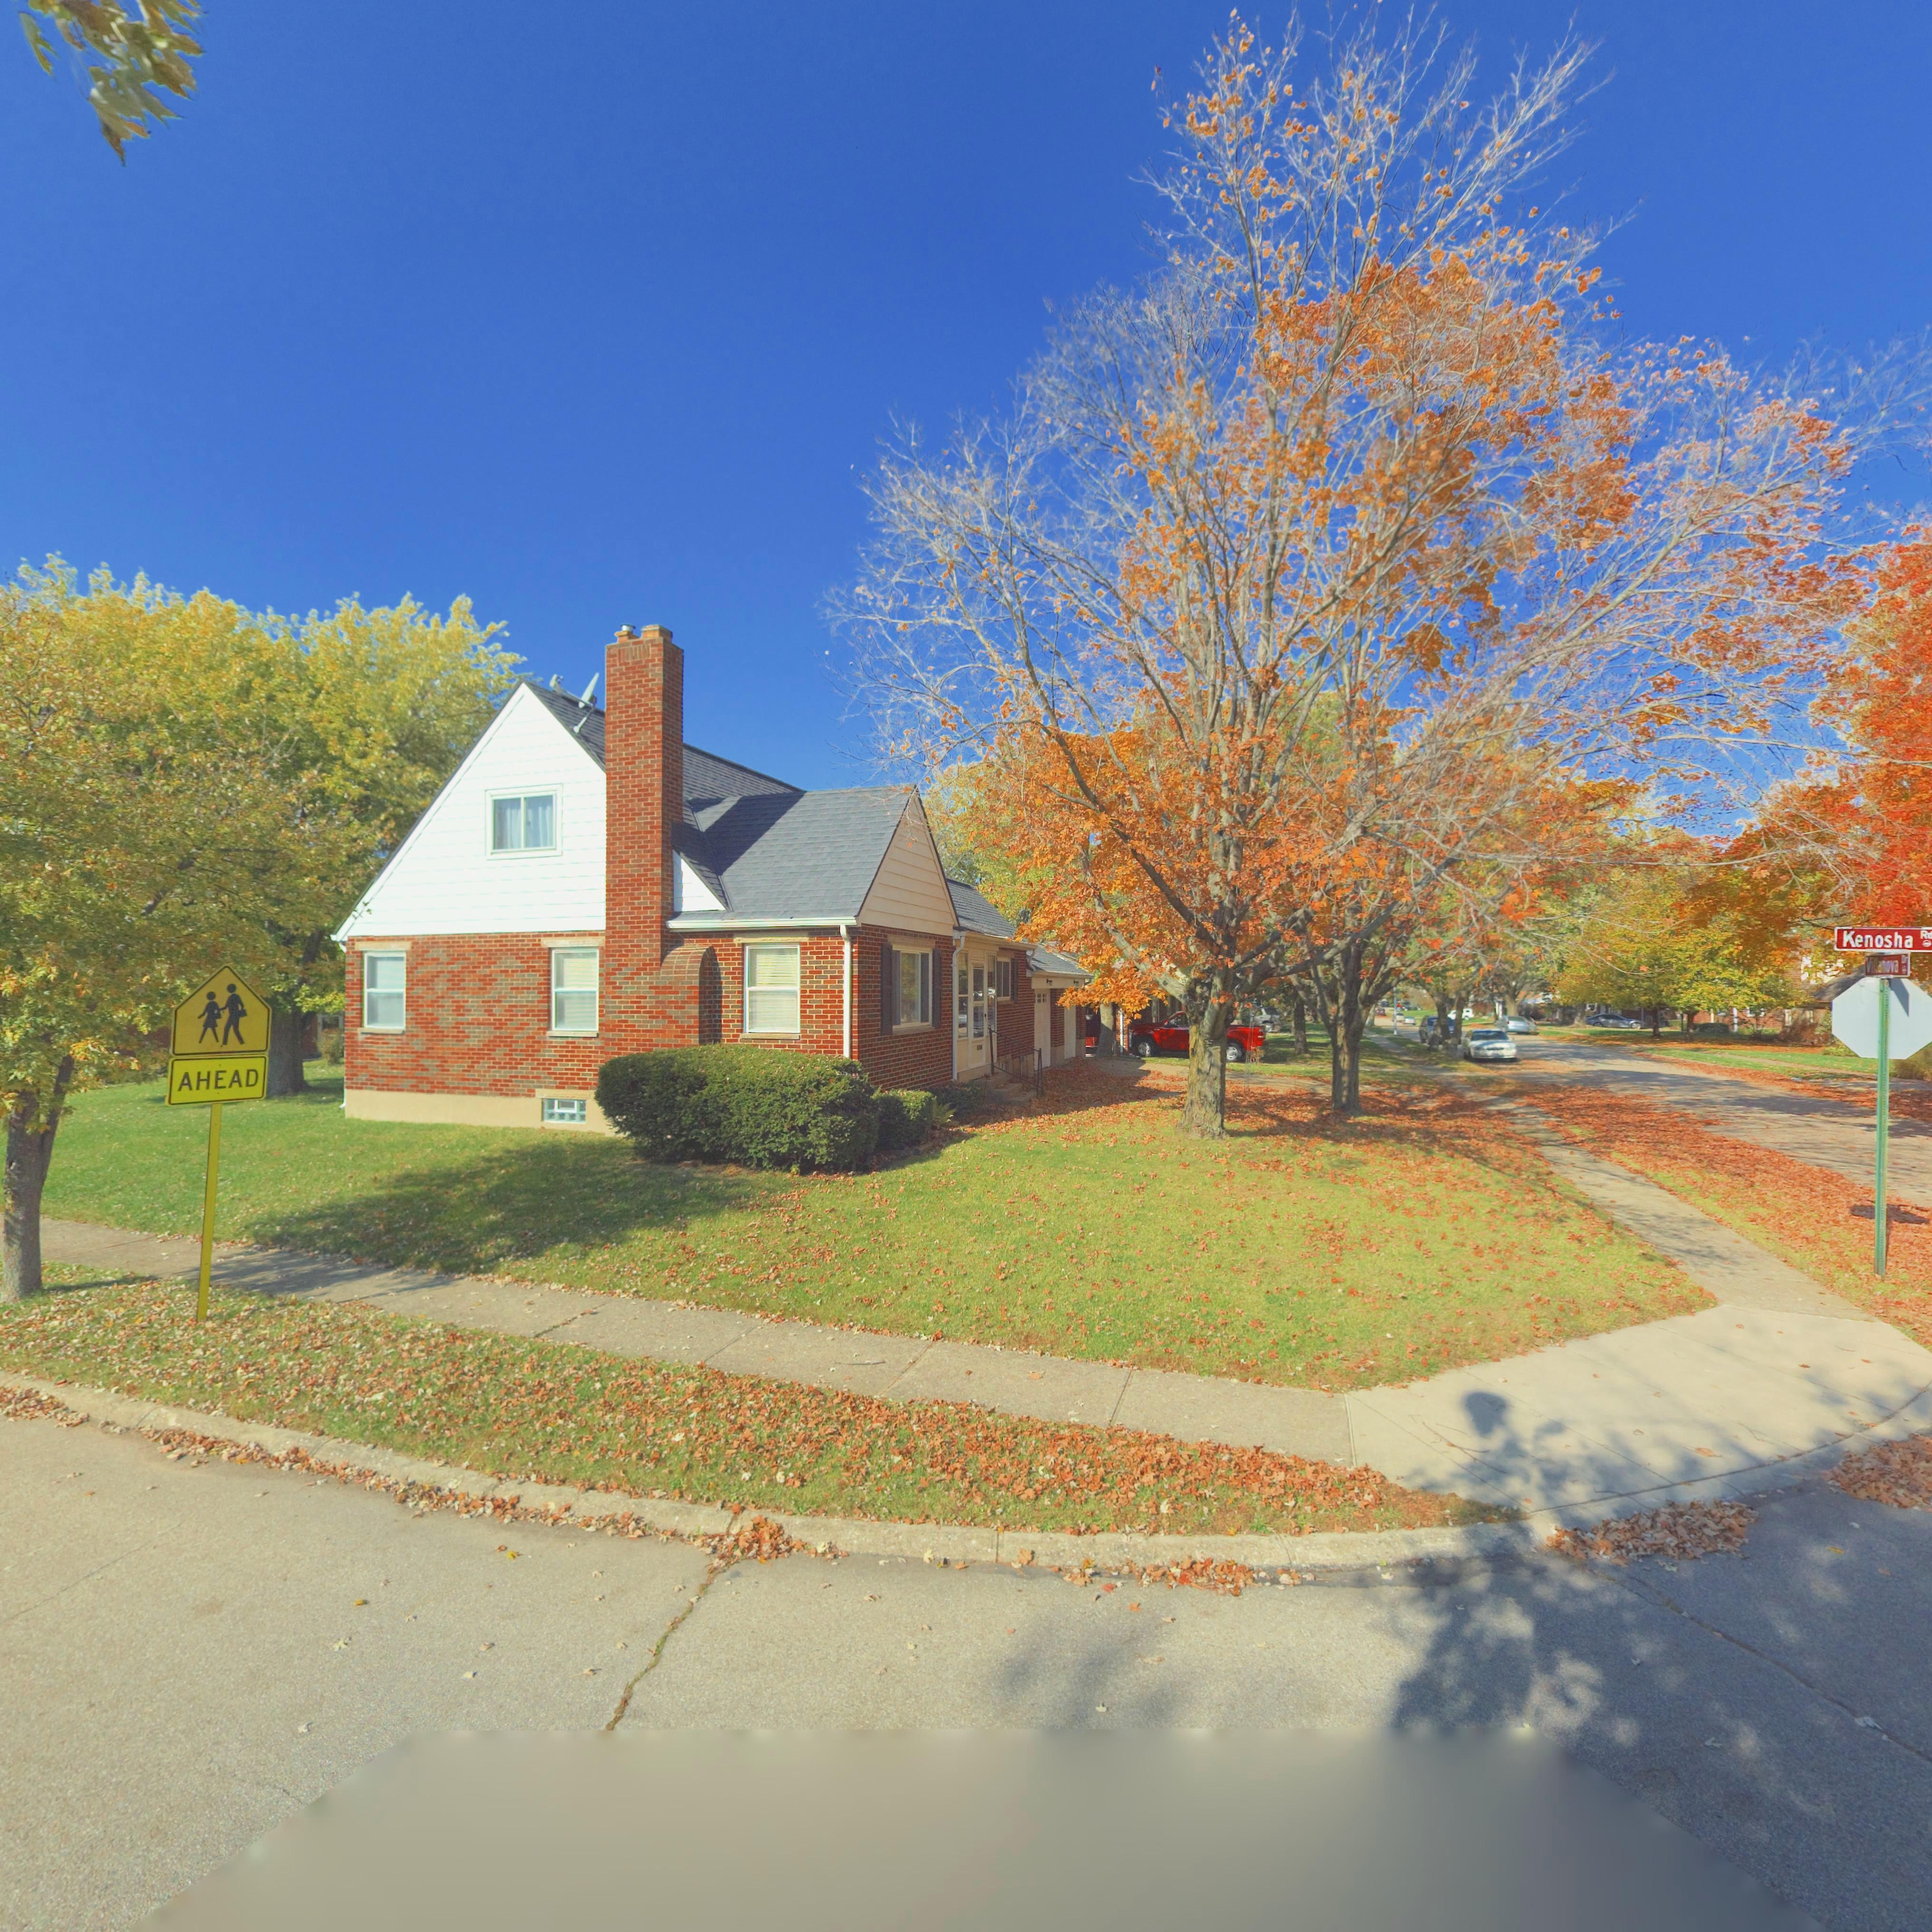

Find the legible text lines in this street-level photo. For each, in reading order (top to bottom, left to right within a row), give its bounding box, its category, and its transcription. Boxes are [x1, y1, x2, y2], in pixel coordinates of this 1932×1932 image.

[1843, 930, 1932, 949] StreetName: Kenosha Rd
[1865, 955, 1909, 974] StreetName: Villanova Dr
[176, 1068, 259, 1092] None: AHEAD